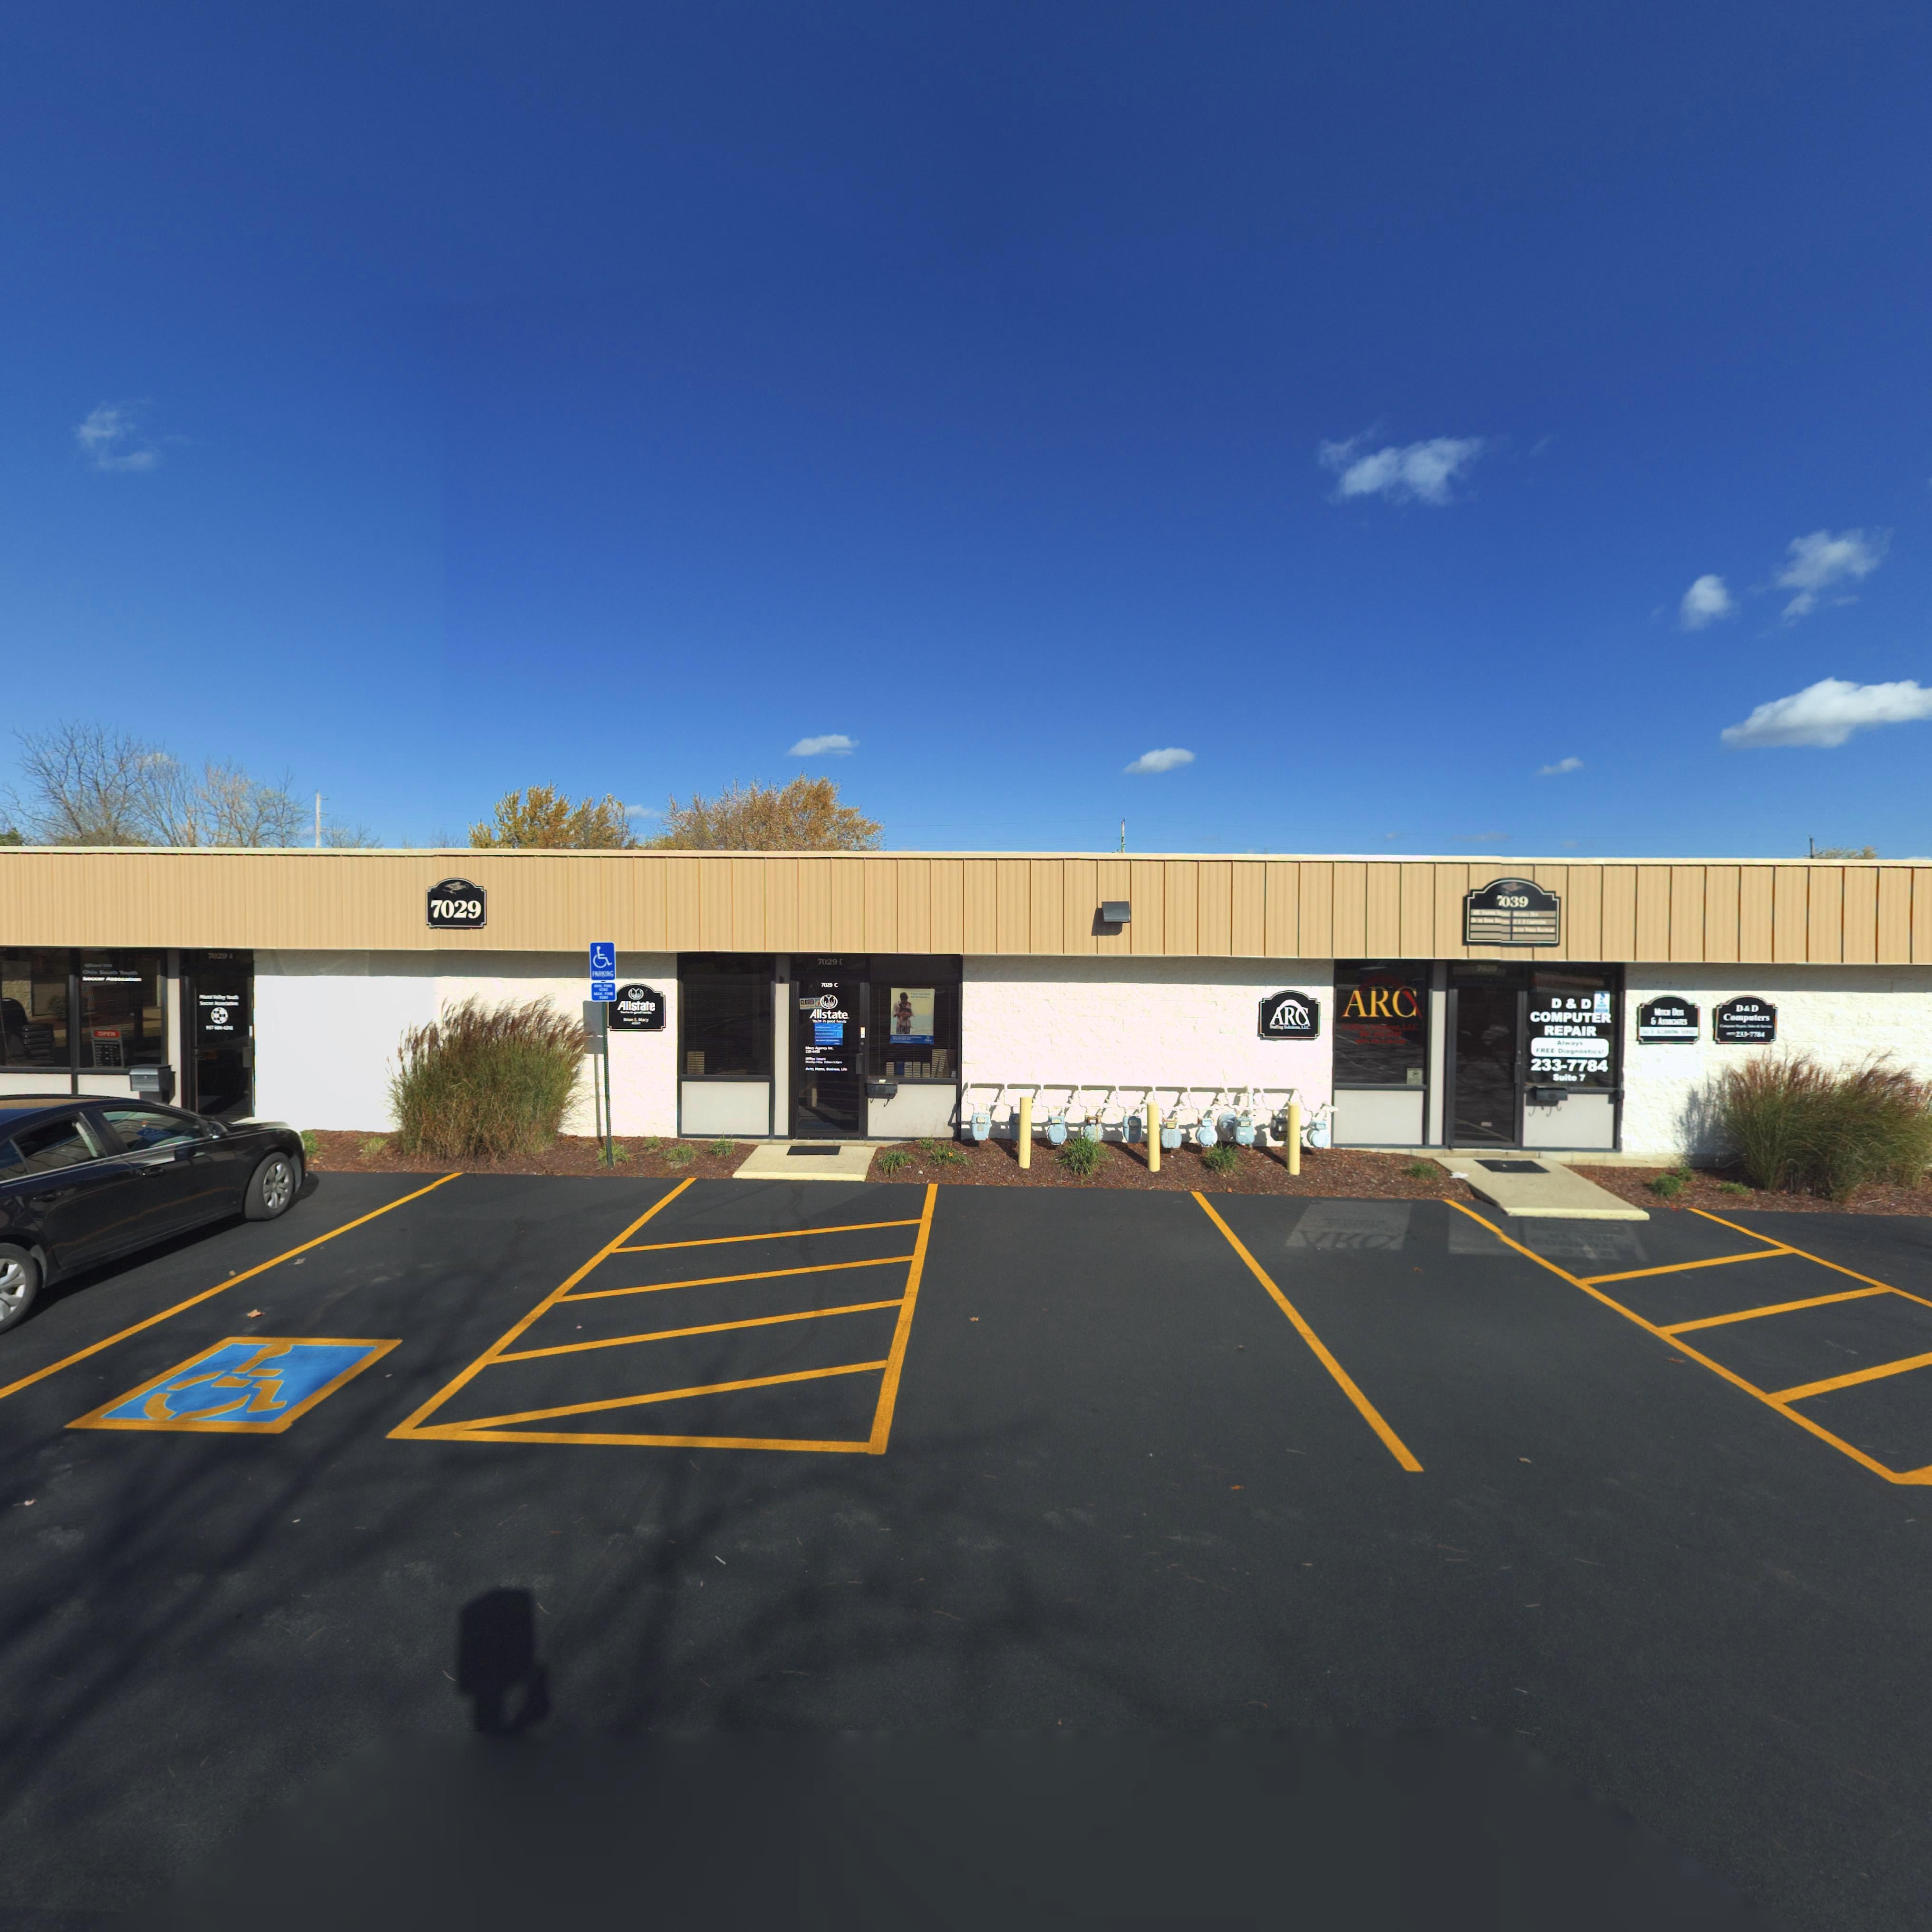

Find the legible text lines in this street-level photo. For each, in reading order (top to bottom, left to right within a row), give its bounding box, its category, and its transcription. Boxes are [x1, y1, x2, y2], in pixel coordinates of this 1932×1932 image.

[1495, 894, 1530, 909] StreetNumber: **39
[429, 898, 483, 920] StreetNumber: 7029
[206, 951, 235, 960] StreetNumber: 7029 A
[816, 957, 844, 966] StreetNumber: 7029 C
[1475, 964, 1498, 973] StreetNumber: 7039
[820, 981, 840, 989] StreetNumber: 7029 C